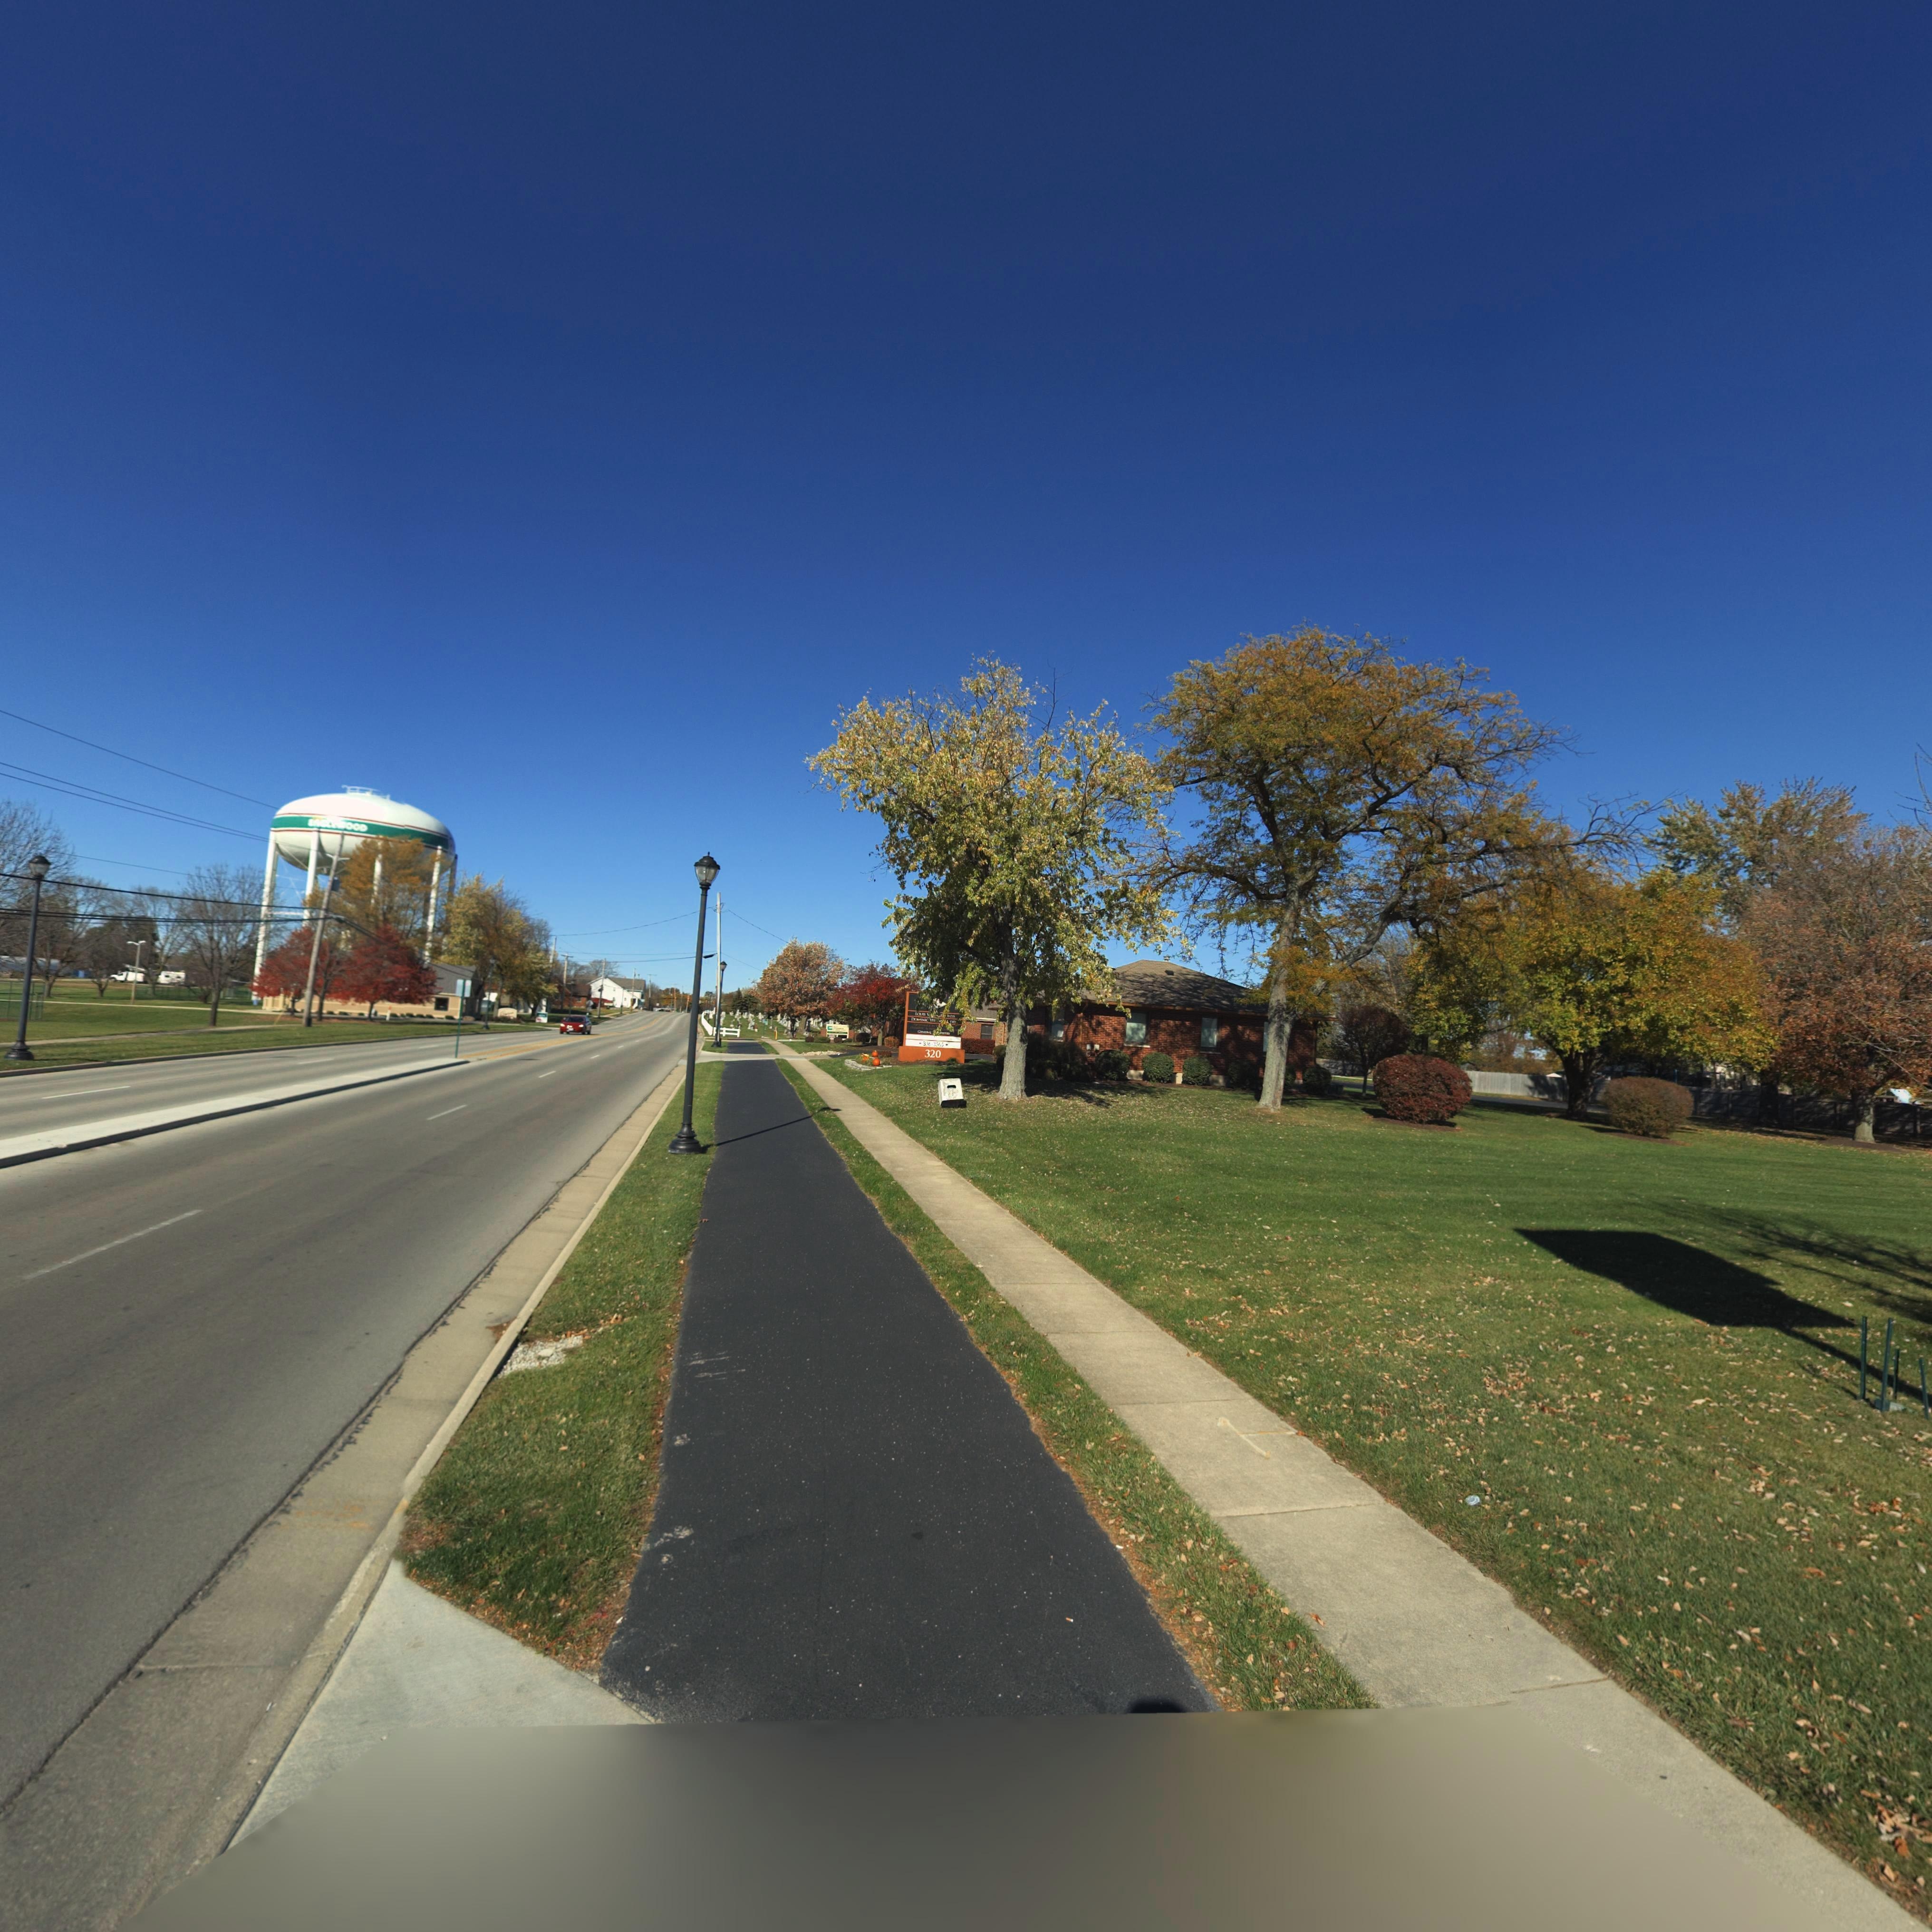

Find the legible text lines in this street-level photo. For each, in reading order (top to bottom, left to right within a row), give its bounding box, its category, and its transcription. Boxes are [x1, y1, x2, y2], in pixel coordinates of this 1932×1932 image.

[344, 821, 369, 833] None: OOD
[924, 1048, 943, 1059] StreetNumber: 320